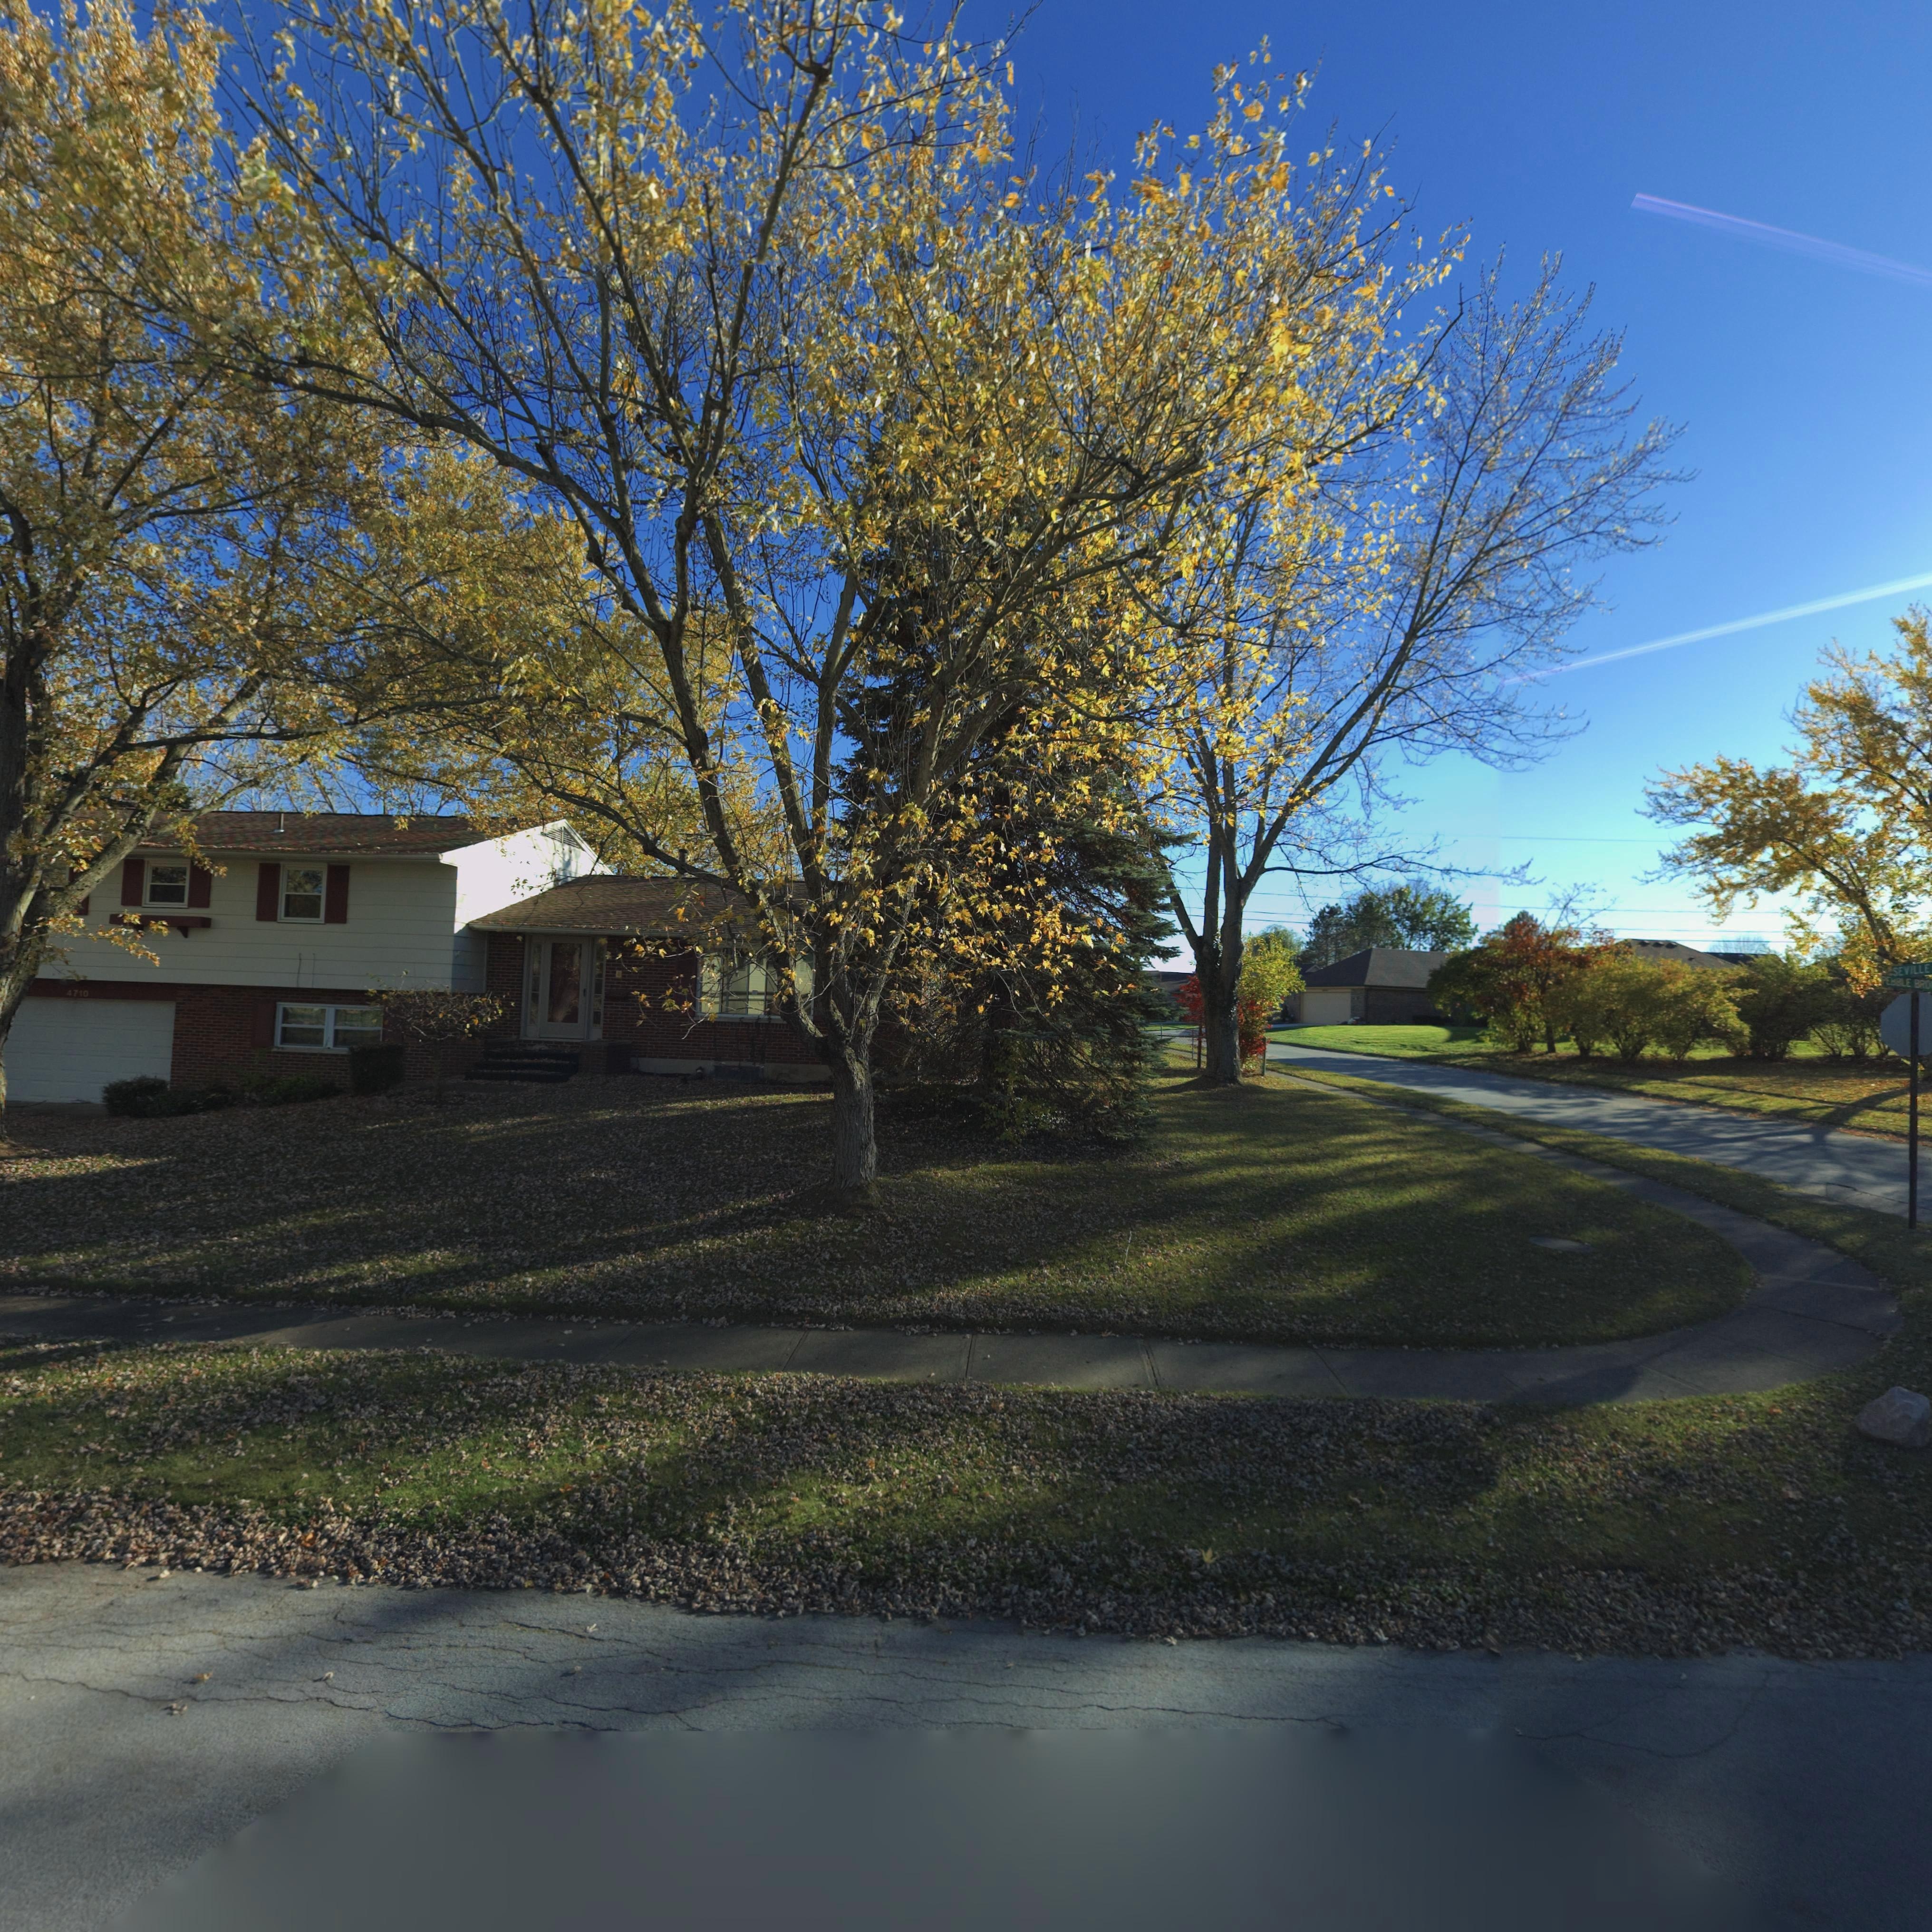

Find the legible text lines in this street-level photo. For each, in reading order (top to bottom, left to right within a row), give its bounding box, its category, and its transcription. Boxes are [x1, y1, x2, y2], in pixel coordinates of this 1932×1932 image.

[65, 989, 89, 997] StreetNumber: 4710